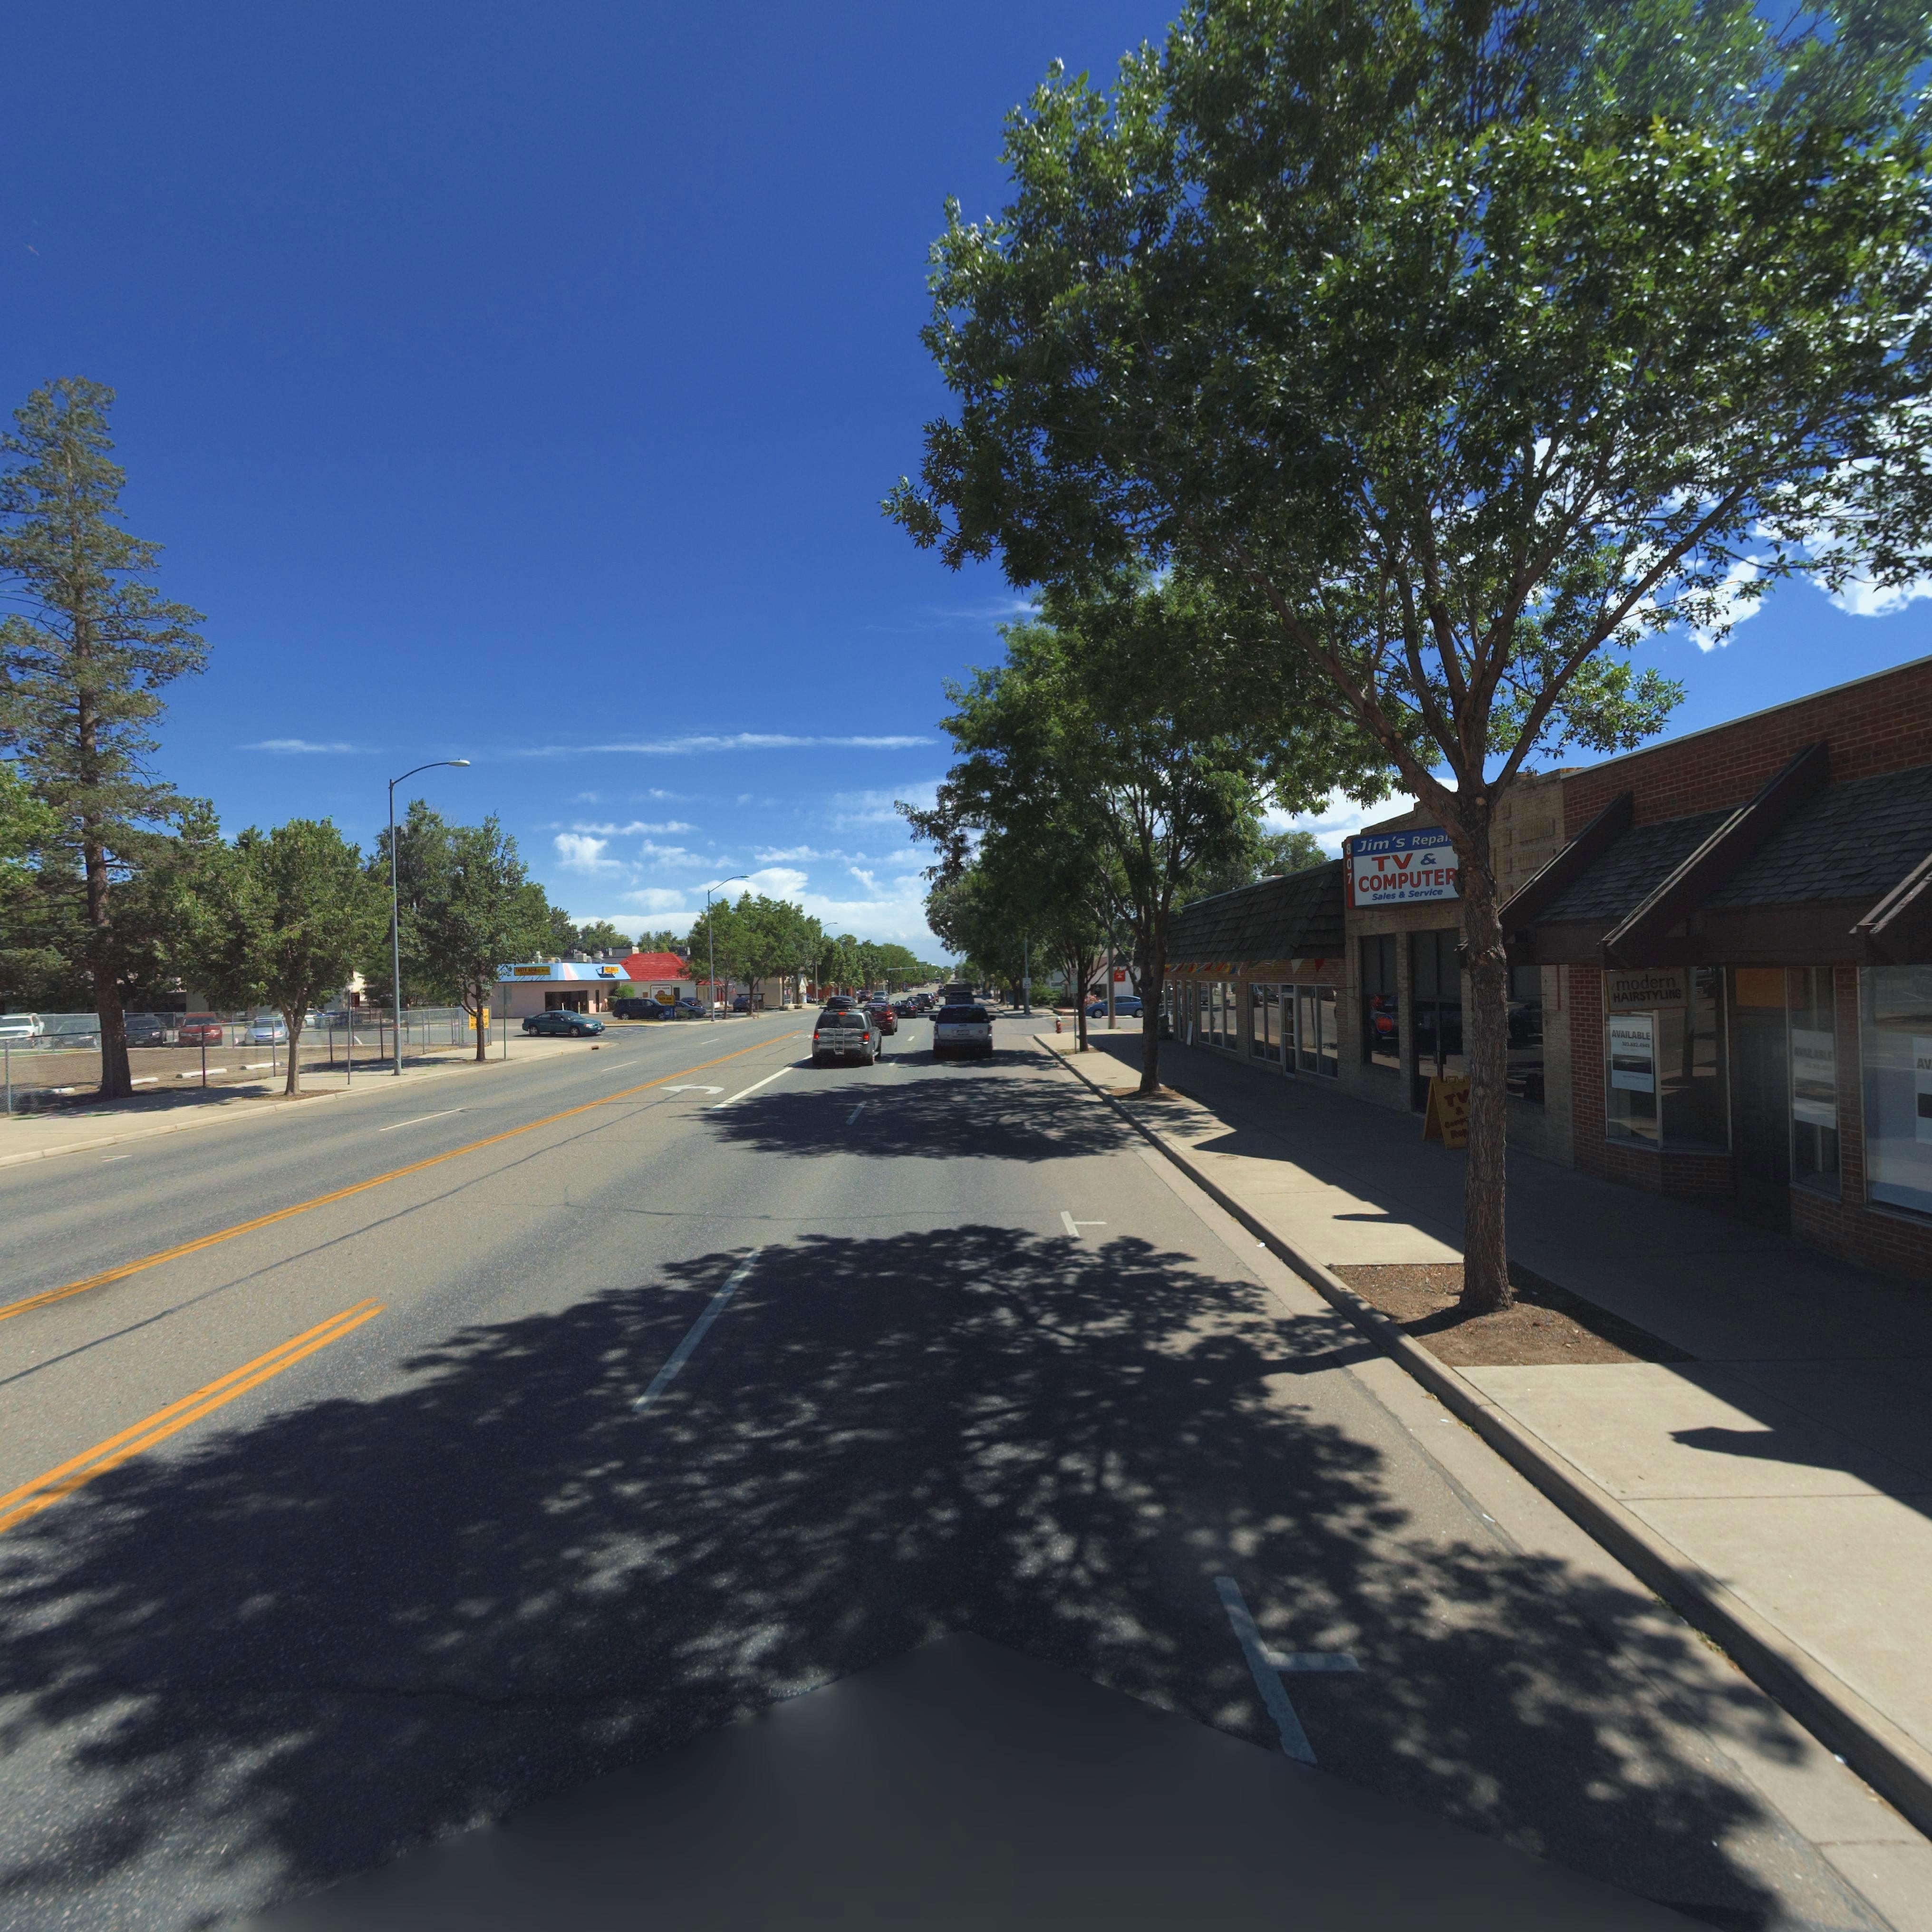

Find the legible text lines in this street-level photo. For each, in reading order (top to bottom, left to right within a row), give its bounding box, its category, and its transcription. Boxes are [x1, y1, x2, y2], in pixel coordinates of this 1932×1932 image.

[1357, 834, 1445, 852] BusinessName: Jim's Repa
[1346, 842, 1352, 885] StreetNumber: 807
[514, 967, 537, 972] BusinessName: TA*TY ASIA
[1615, 973, 1677, 991] BusinessName: modern
[658, 997, 672, 1001] BusinessName: ****Y ****
[1613, 987, 1681, 1003] BusinessName: HAIRSTYLING